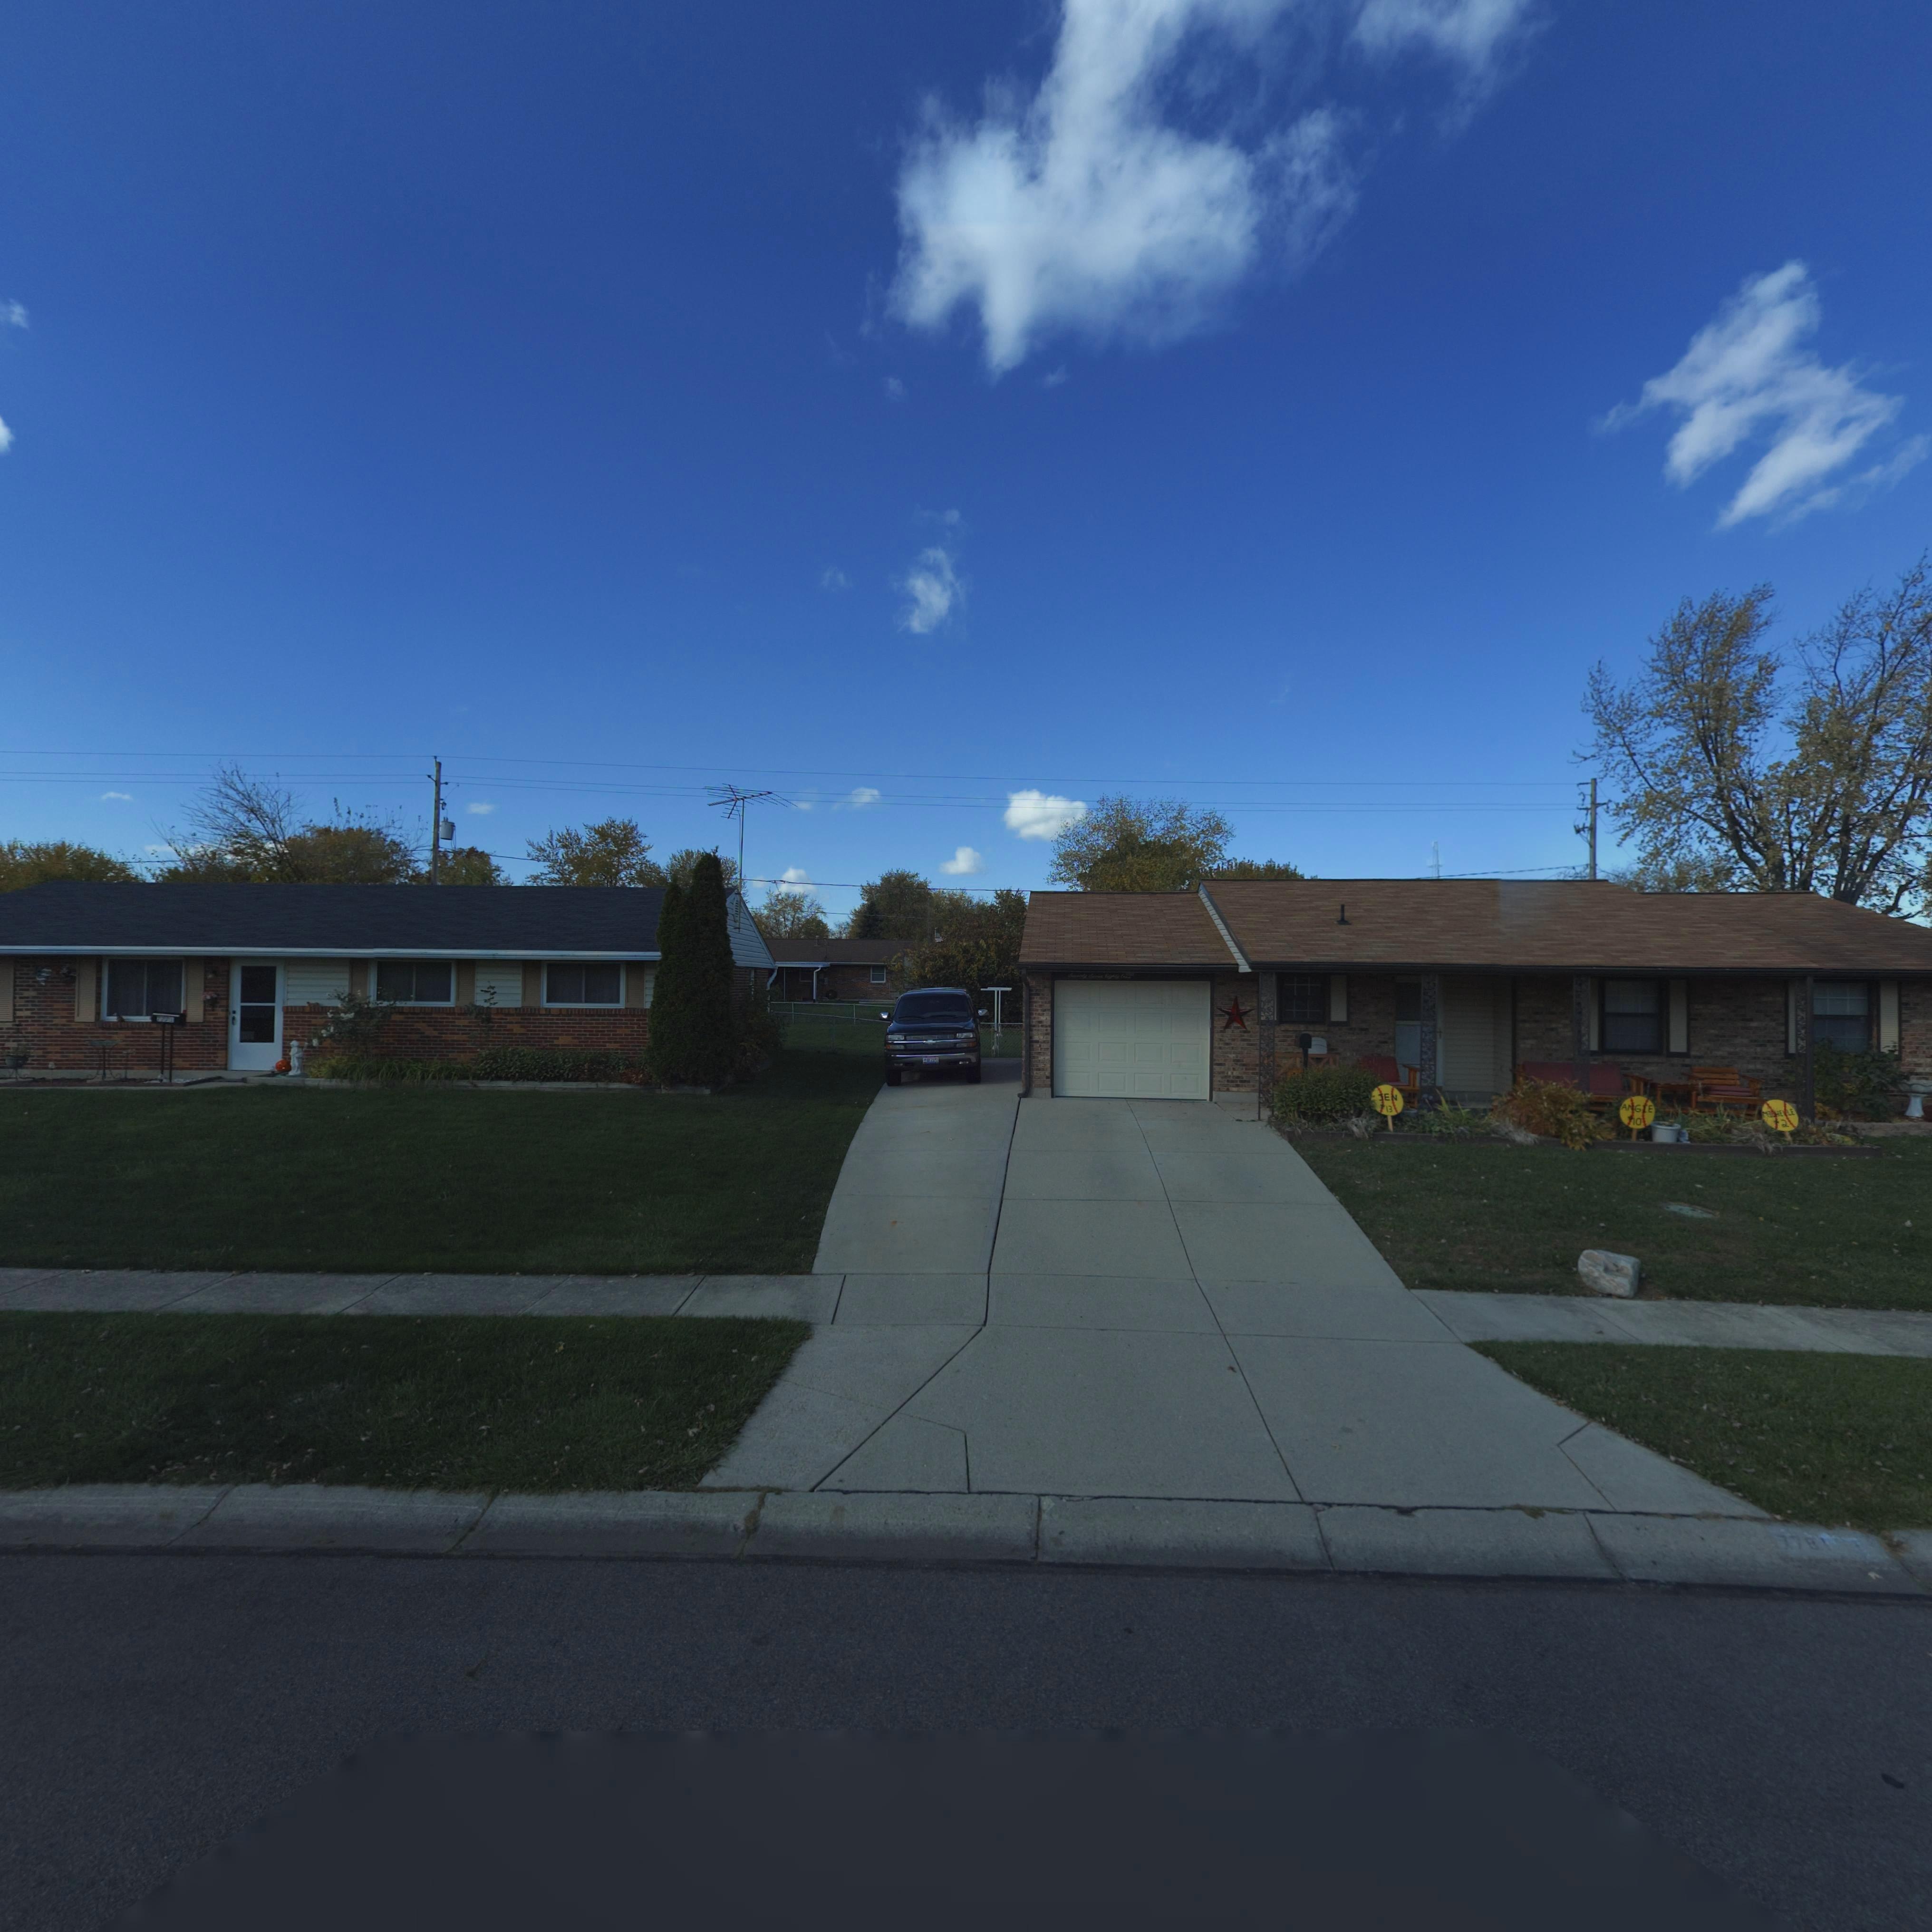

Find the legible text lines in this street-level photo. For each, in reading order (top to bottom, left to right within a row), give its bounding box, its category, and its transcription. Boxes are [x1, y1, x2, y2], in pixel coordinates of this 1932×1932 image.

[1774, 1533, 1835, 1552] StreetNumber: 7781